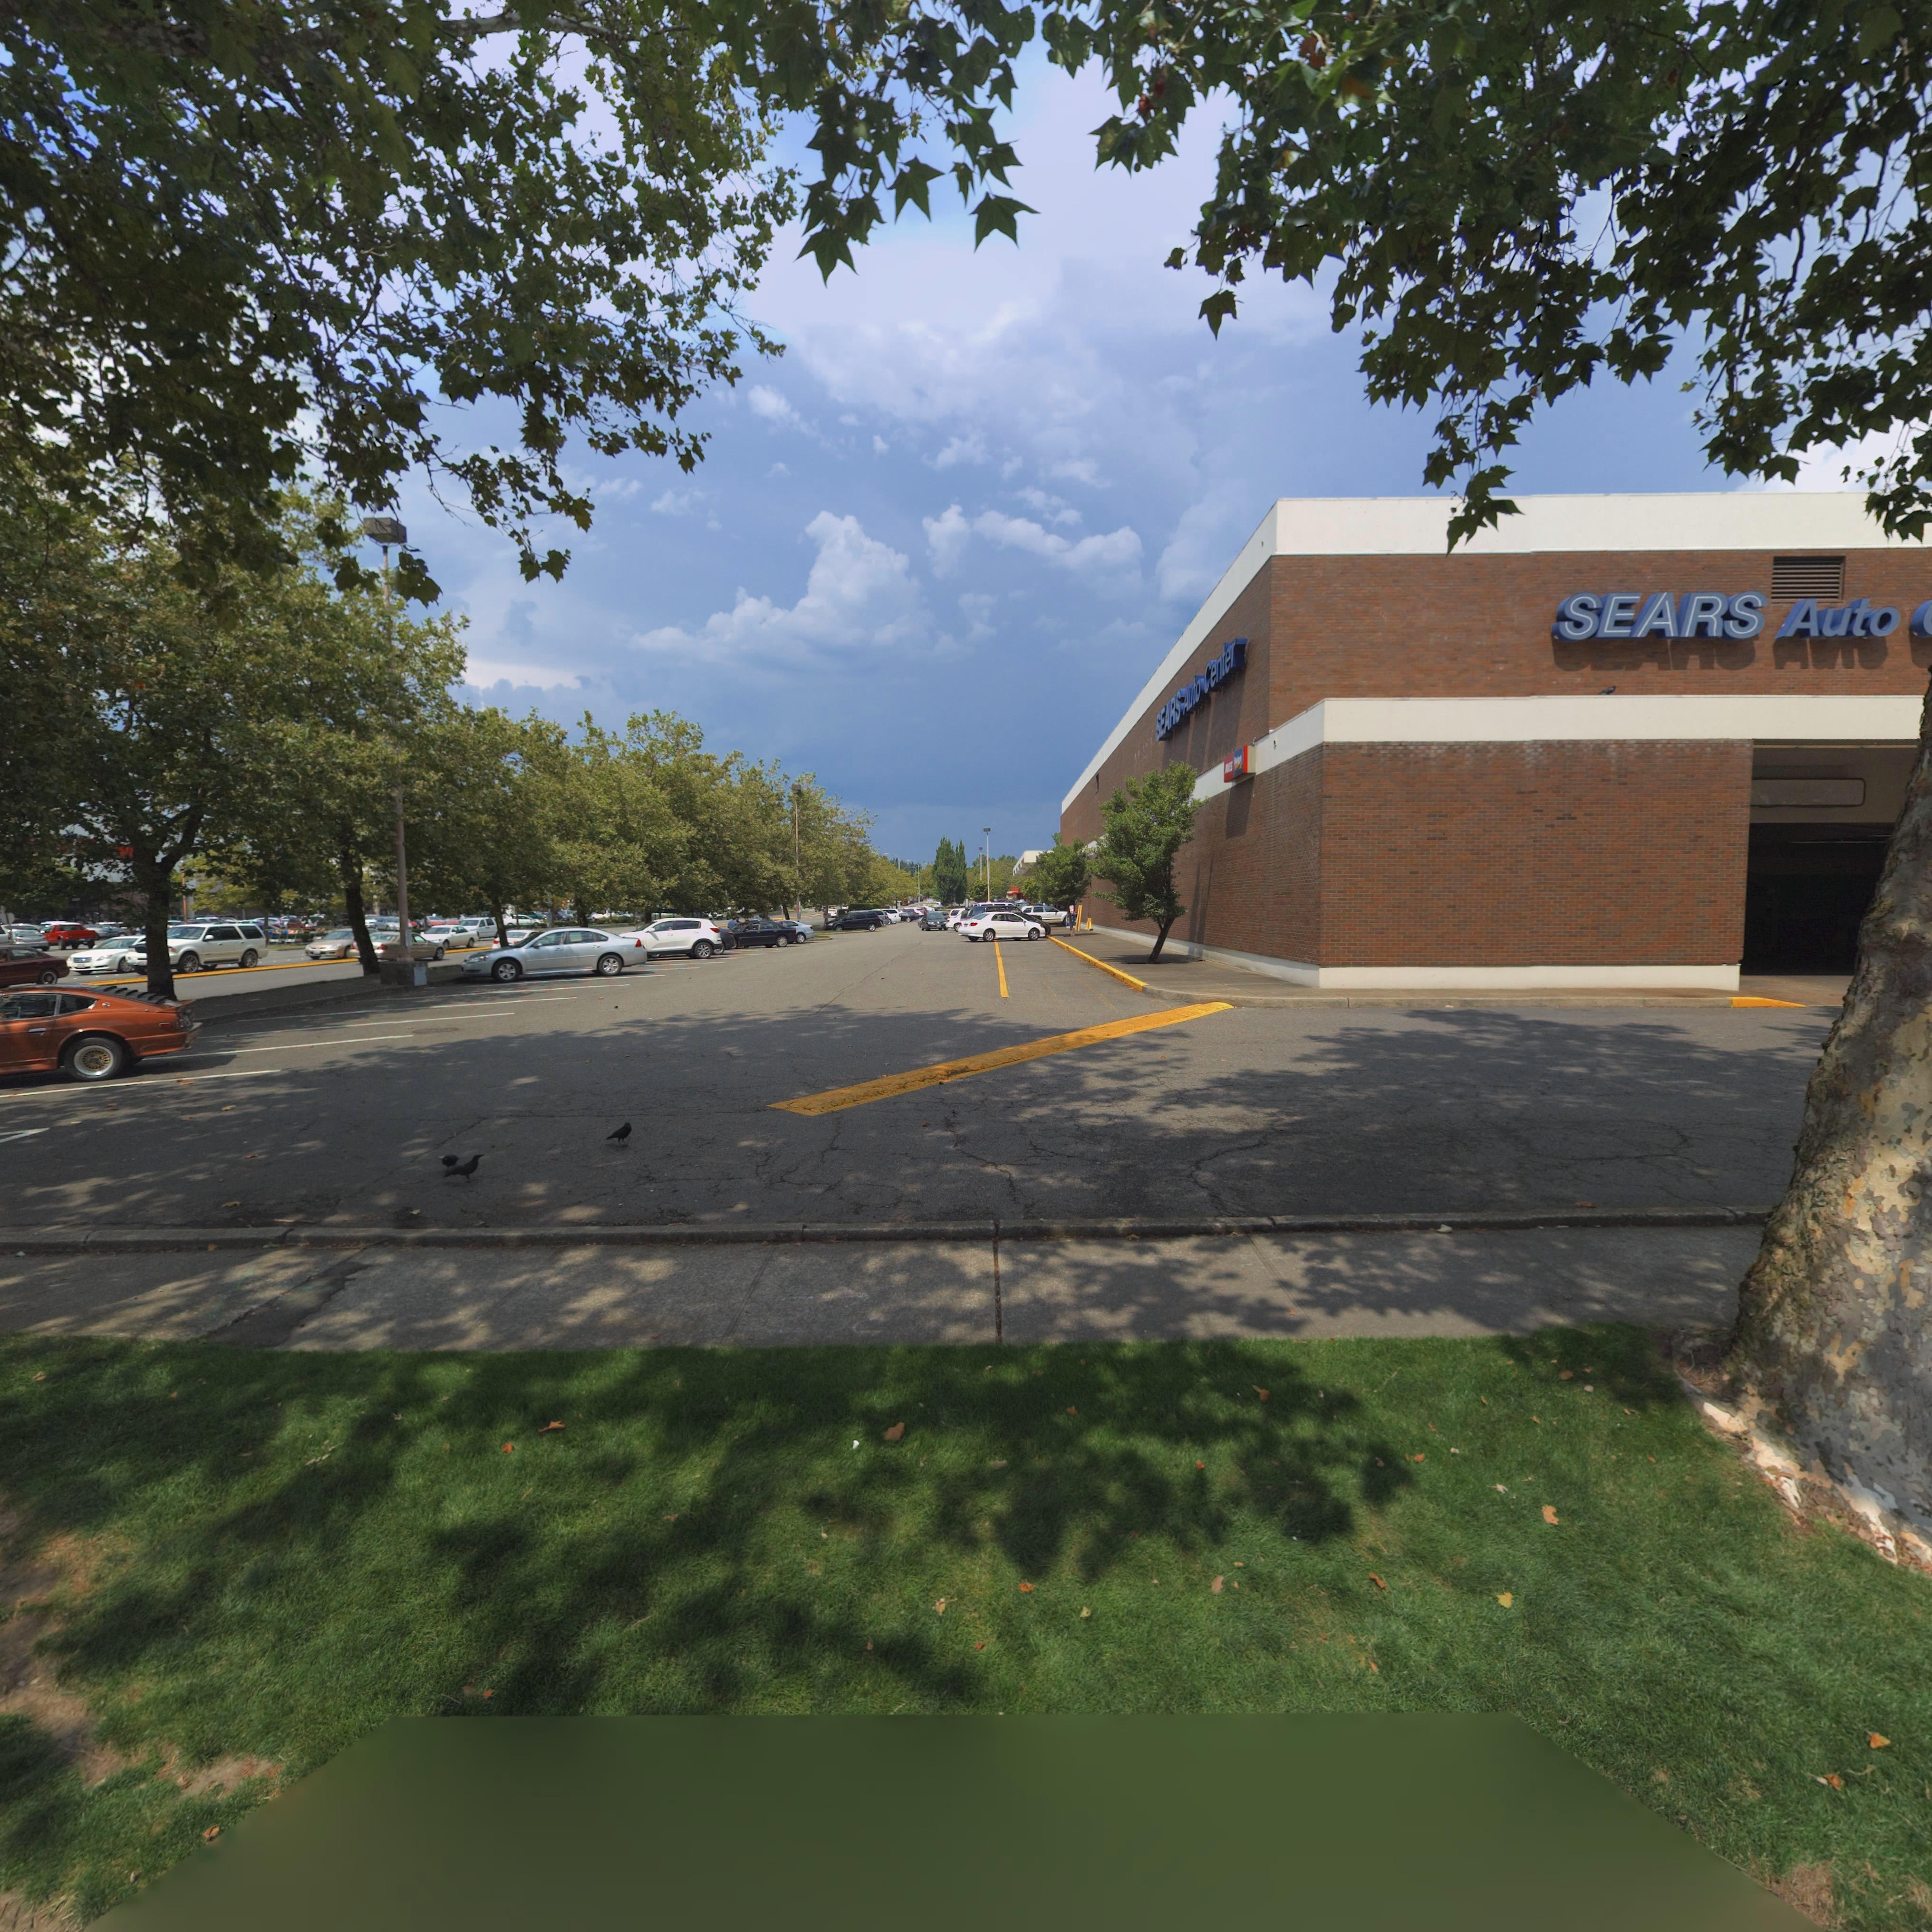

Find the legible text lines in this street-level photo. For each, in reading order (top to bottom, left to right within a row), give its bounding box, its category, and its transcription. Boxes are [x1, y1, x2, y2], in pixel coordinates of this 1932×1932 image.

[1555, 588, 1903, 642] BusinessName: SEARS Auto
[1154, 638, 1237, 743] BusinessName: SEARS Auto Center
[1224, 760, 1233, 774] BusinessName: ***S